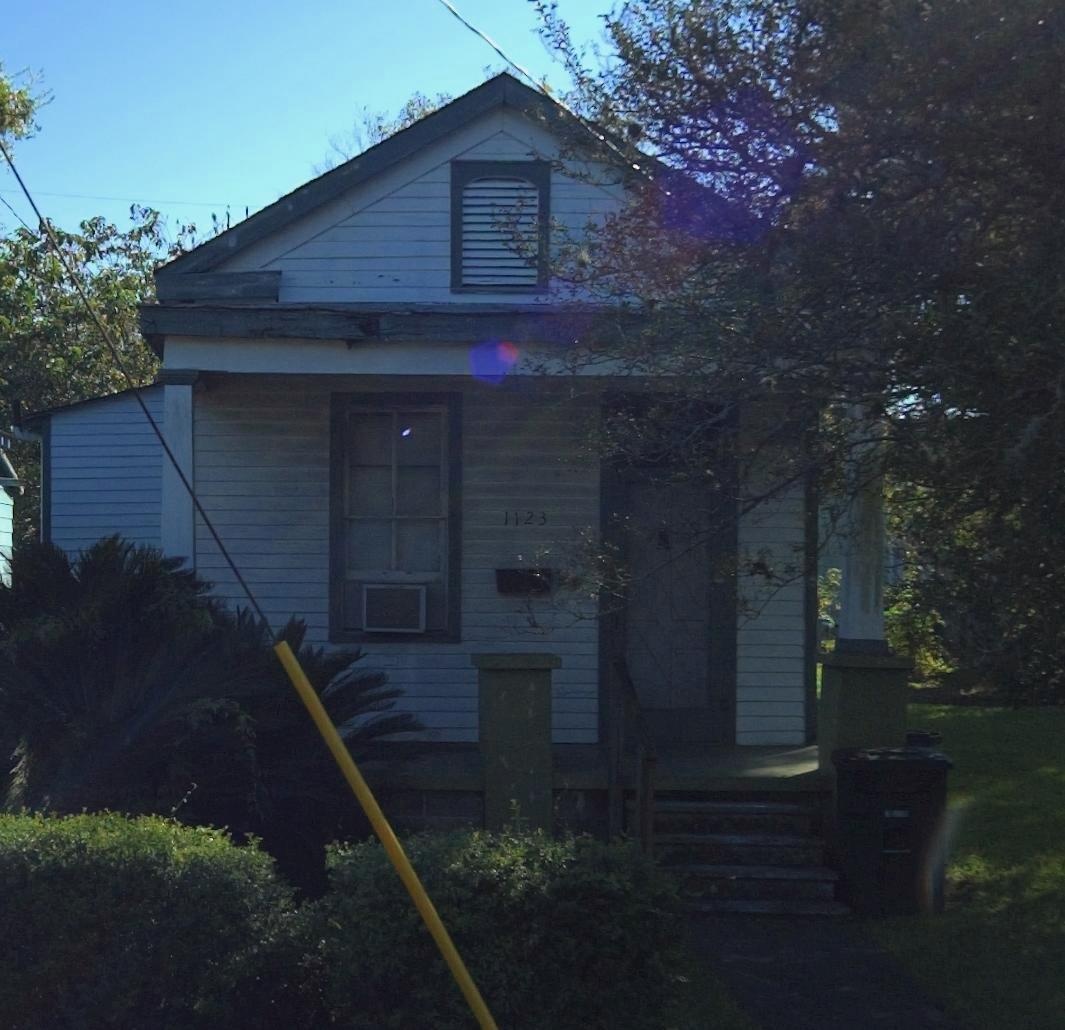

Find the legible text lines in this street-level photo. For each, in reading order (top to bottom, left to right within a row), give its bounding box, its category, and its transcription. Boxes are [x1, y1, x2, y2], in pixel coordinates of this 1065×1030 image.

[502, 508, 549, 529] StreetNumber: 1123